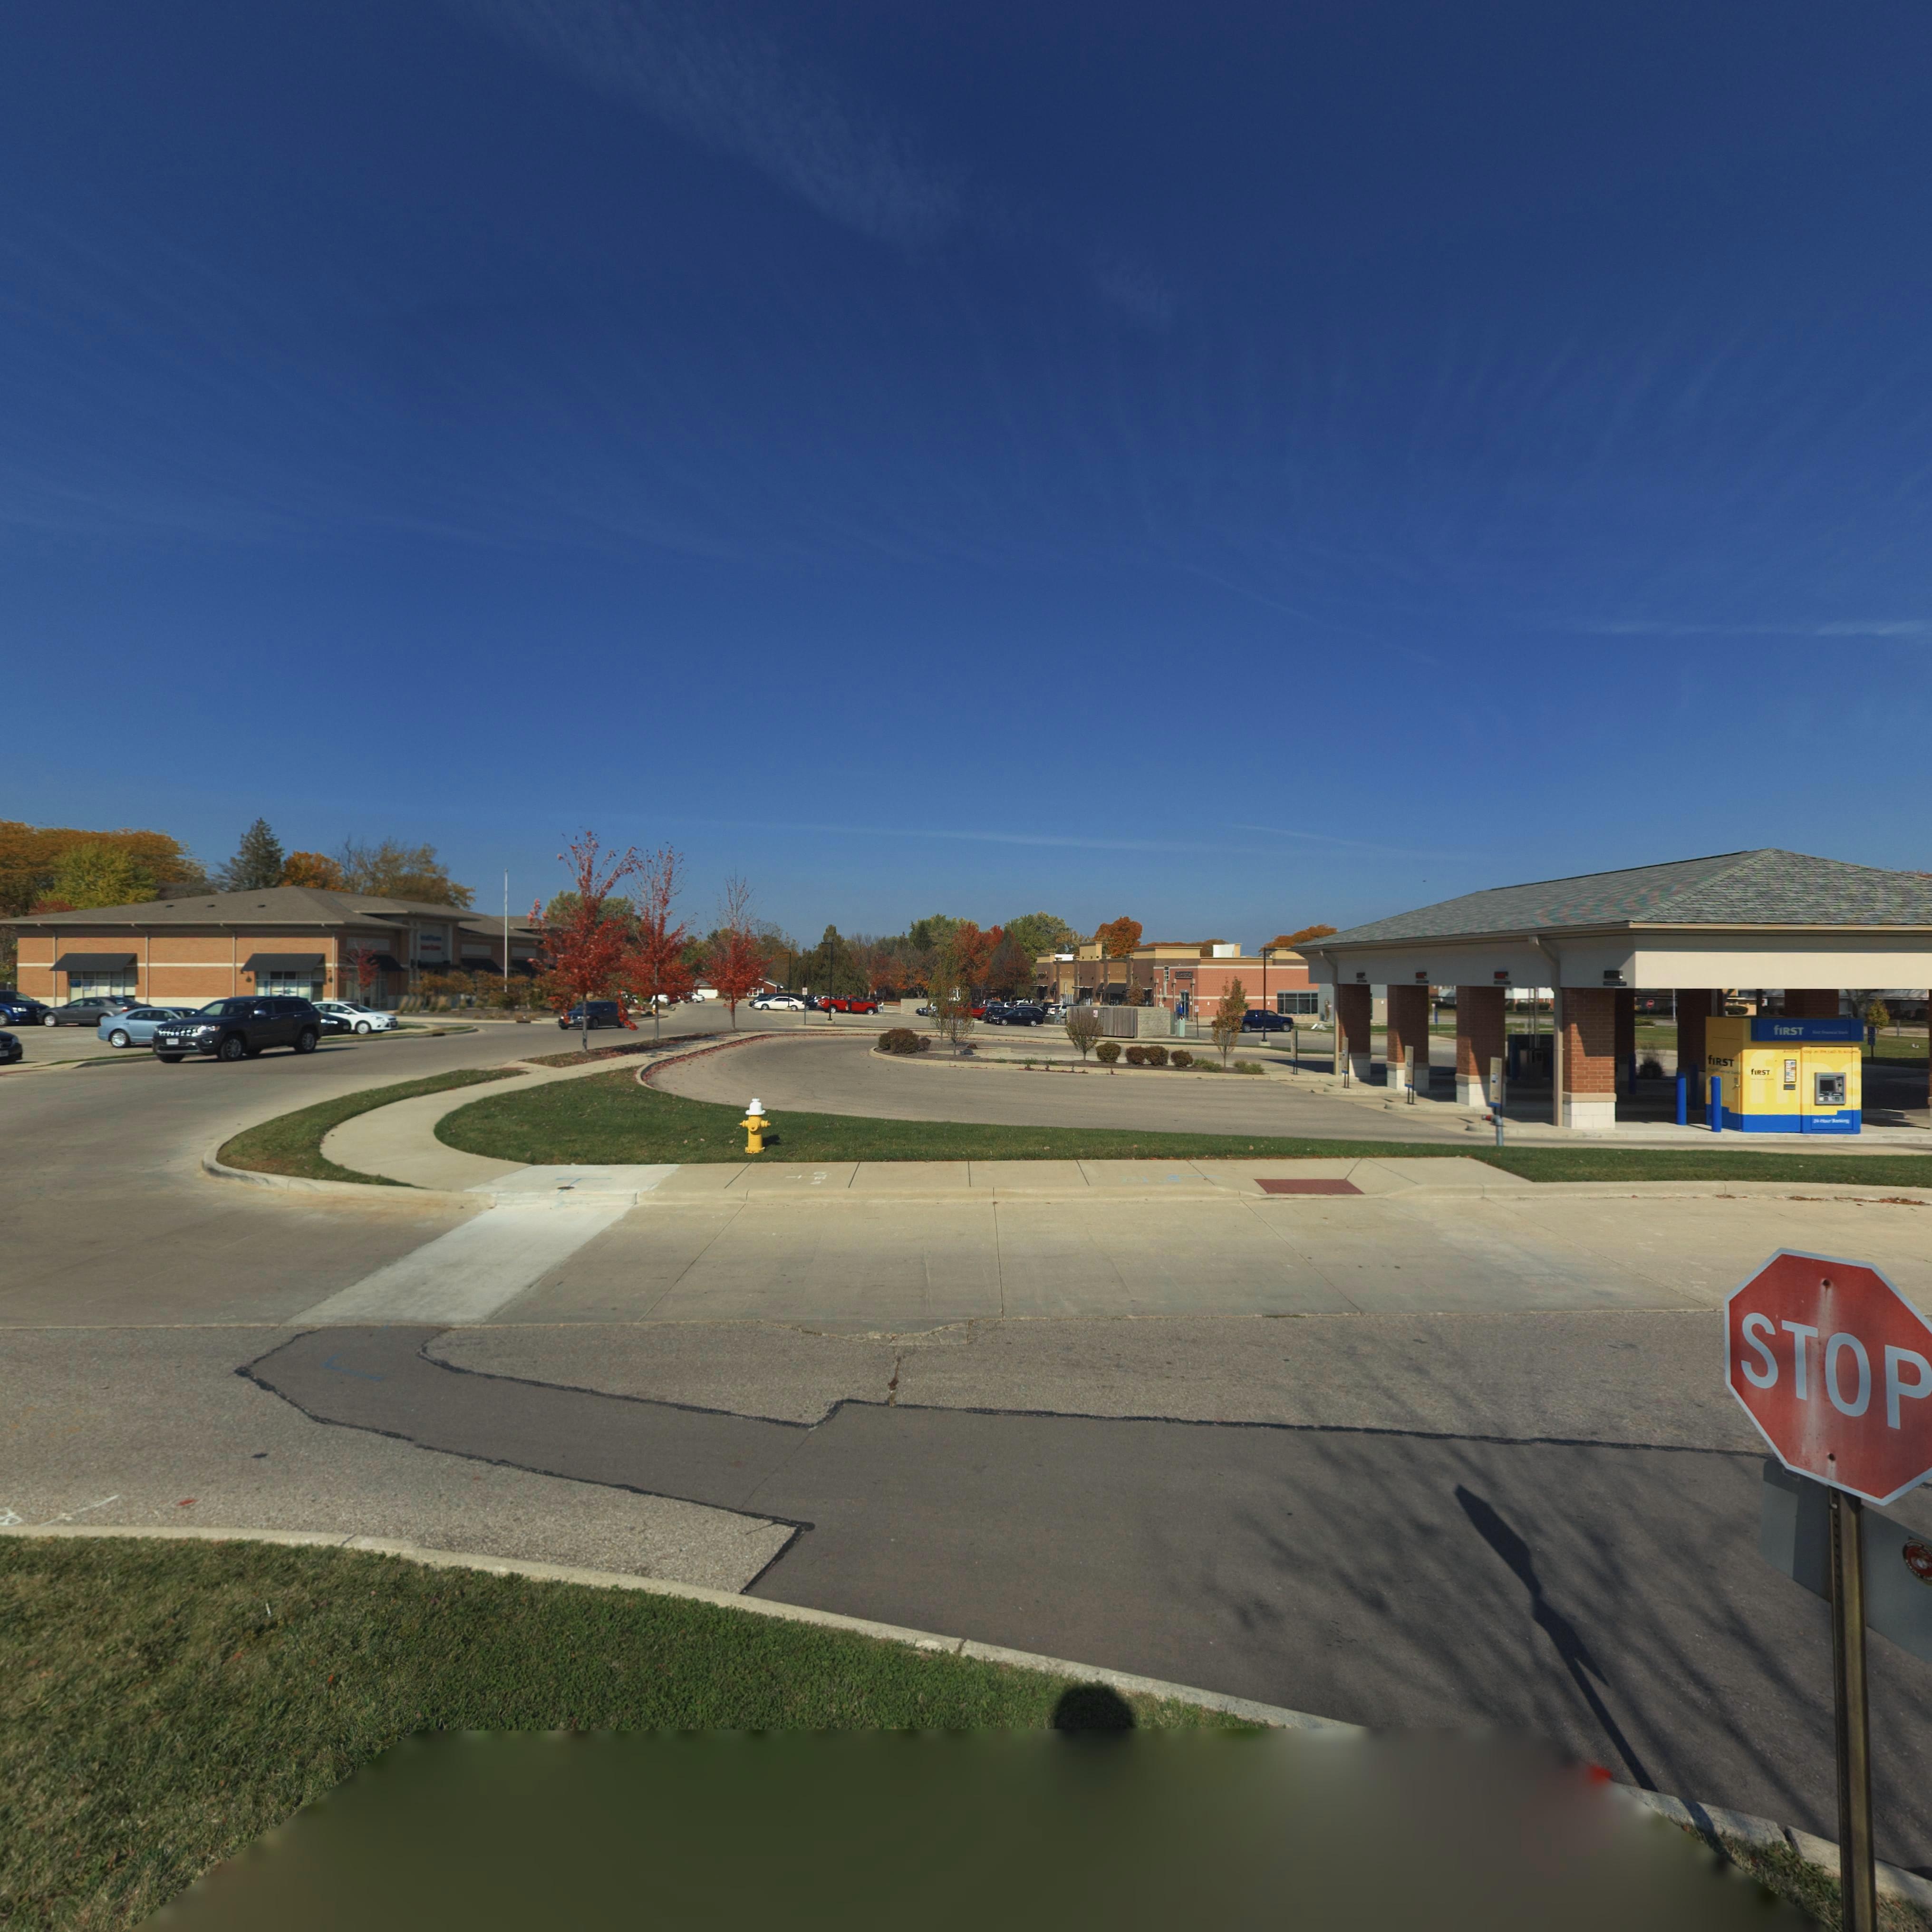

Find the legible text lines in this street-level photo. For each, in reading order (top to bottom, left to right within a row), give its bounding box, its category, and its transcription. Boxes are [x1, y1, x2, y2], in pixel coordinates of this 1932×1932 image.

[1772, 1024, 1806, 1037] BusinessName: fIRST
[1706, 1053, 1735, 1068] BusinessName: fIRST
[1750, 1067, 1771, 1076] BusinessName: fIRST